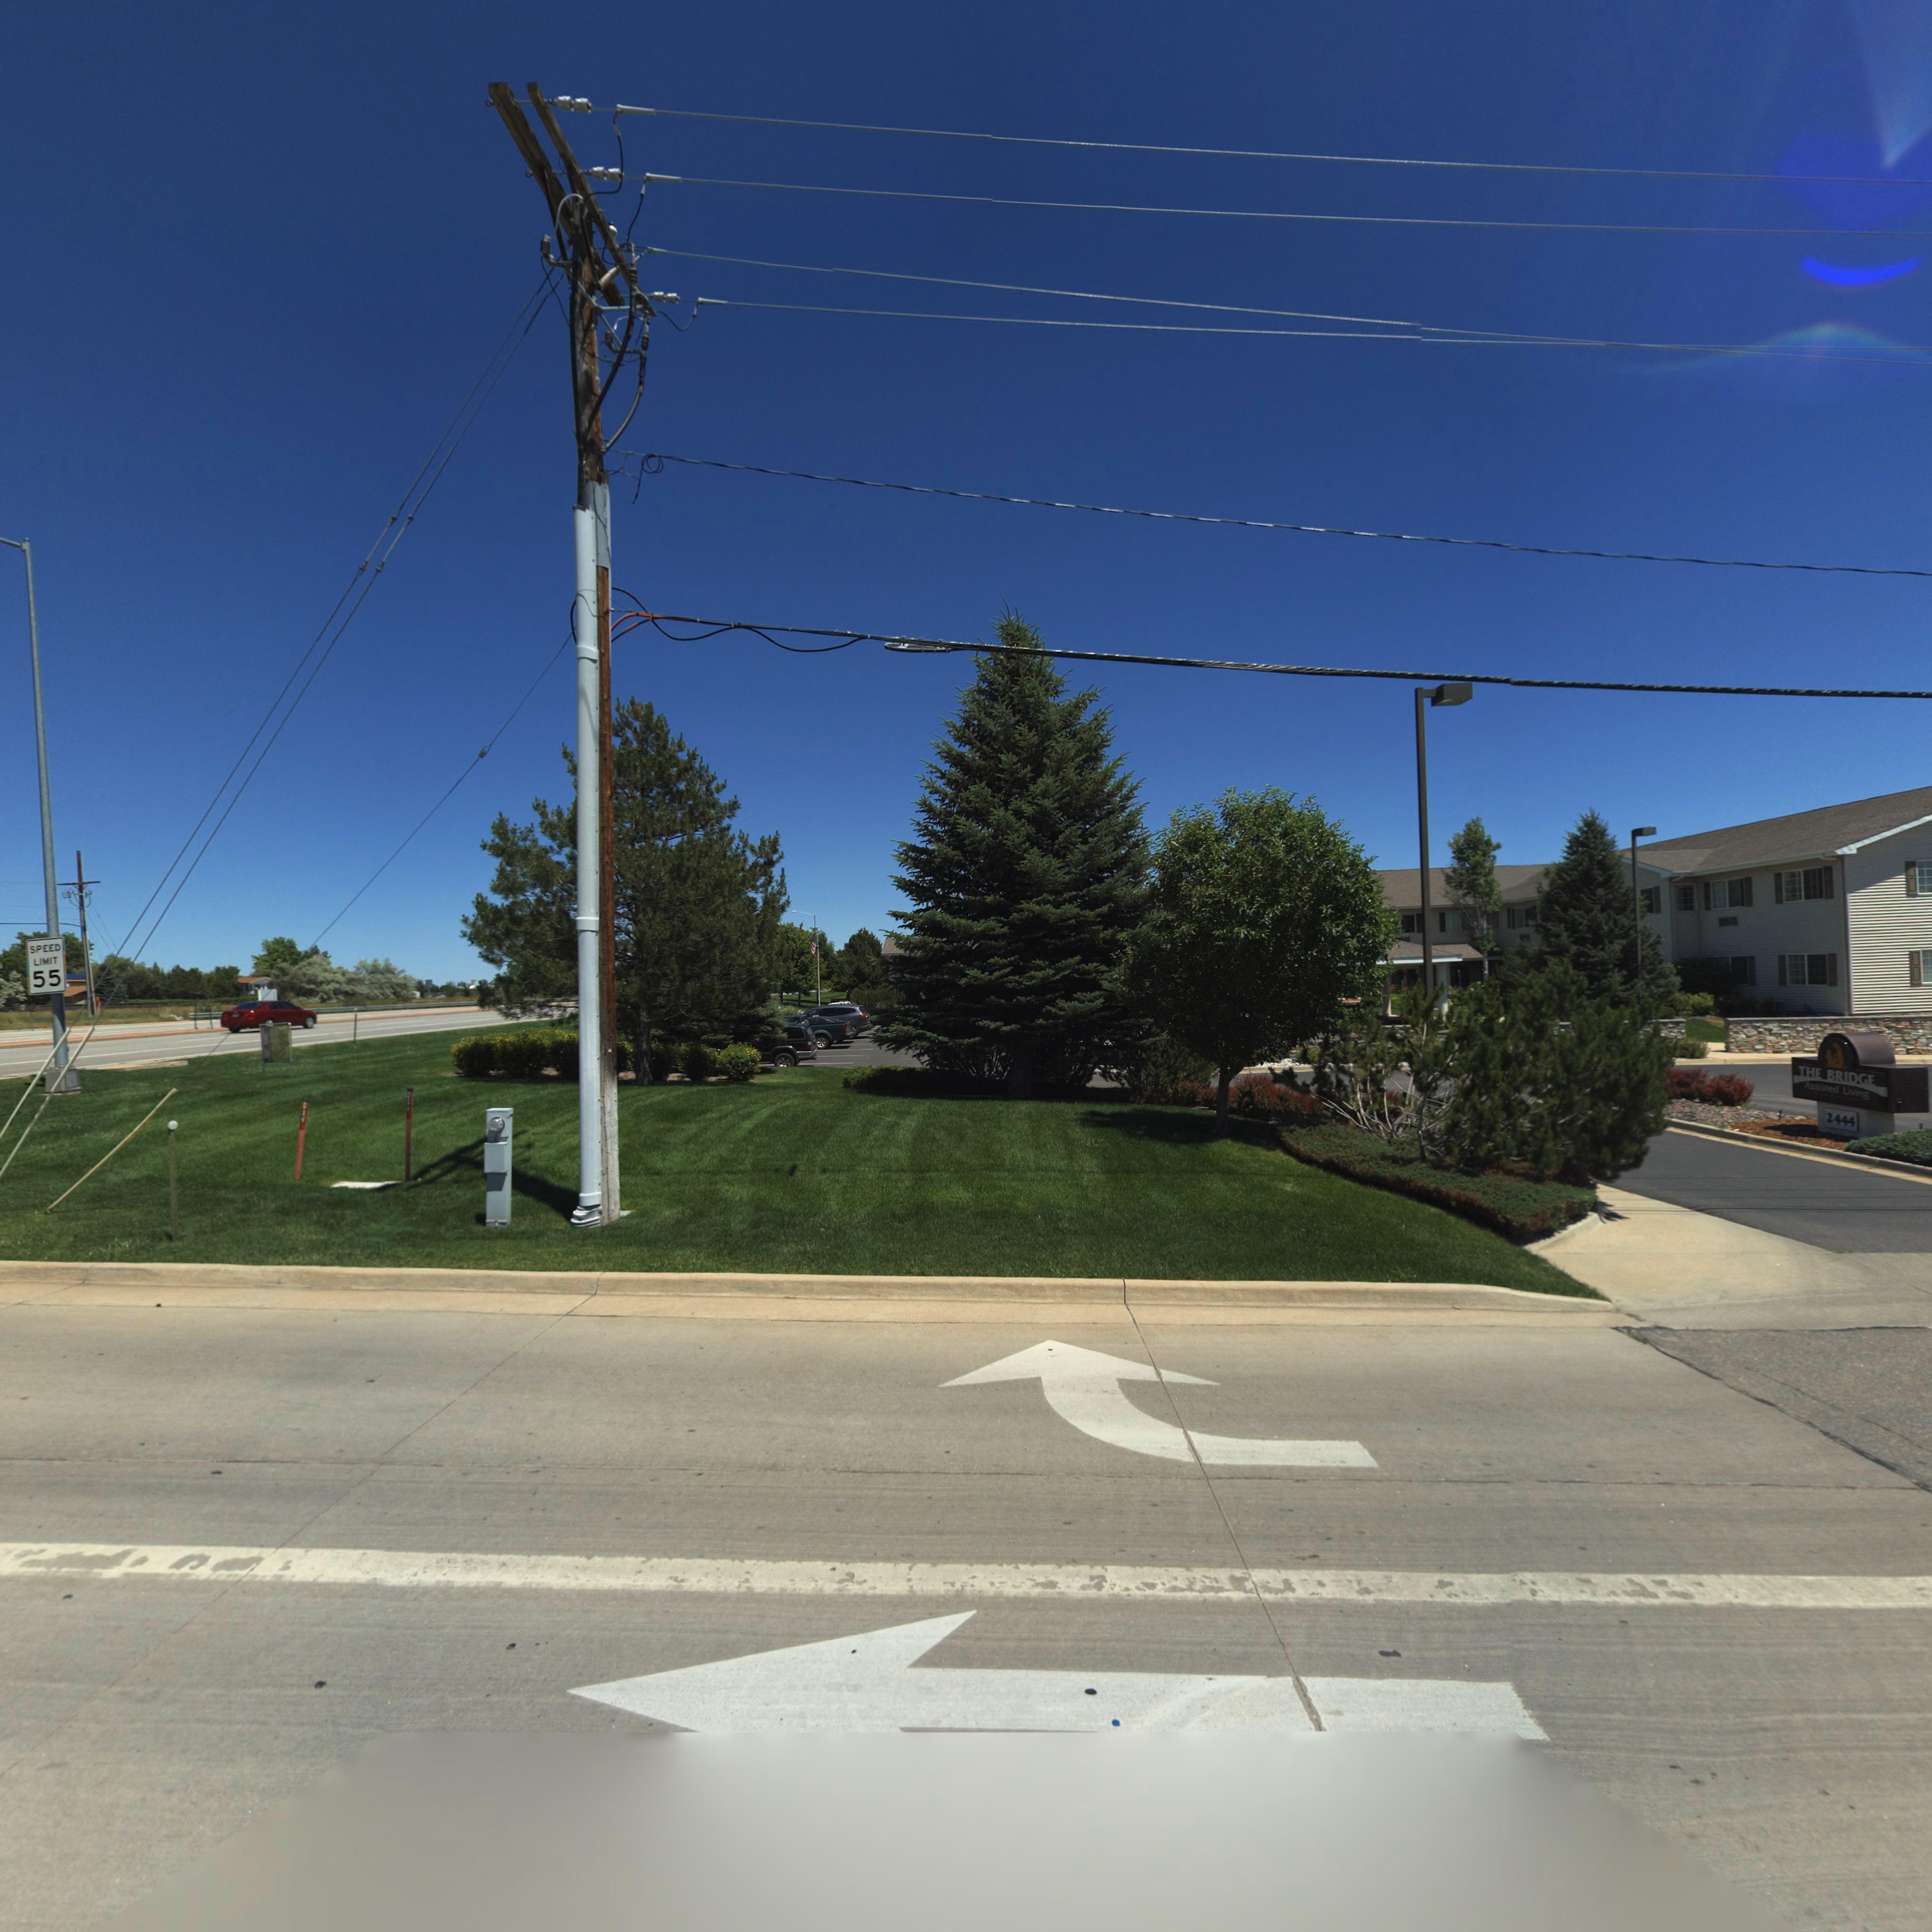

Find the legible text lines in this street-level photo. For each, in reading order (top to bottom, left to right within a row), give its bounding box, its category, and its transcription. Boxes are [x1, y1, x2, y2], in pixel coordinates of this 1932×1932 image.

[1797, 1064, 1875, 1087] BusinessName: THE BRIDGE
[1803, 1080, 1870, 1100] BusinessName: Assisted LIving
[1826, 1111, 1855, 1127] StreetNumber: 2444